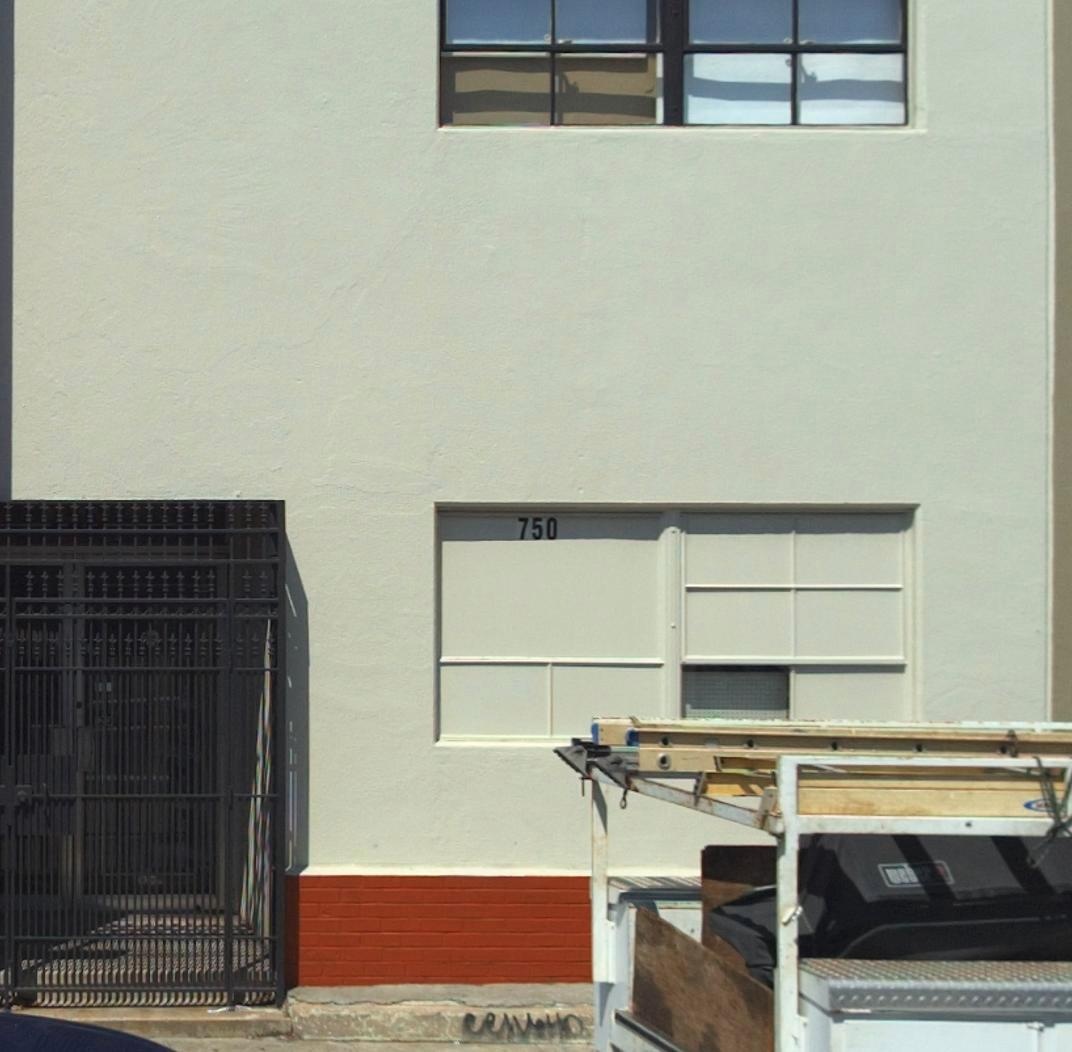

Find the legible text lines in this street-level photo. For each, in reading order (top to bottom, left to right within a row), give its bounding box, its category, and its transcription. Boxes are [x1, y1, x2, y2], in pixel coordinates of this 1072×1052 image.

[517, 516, 559, 540] StreetNumber: 750